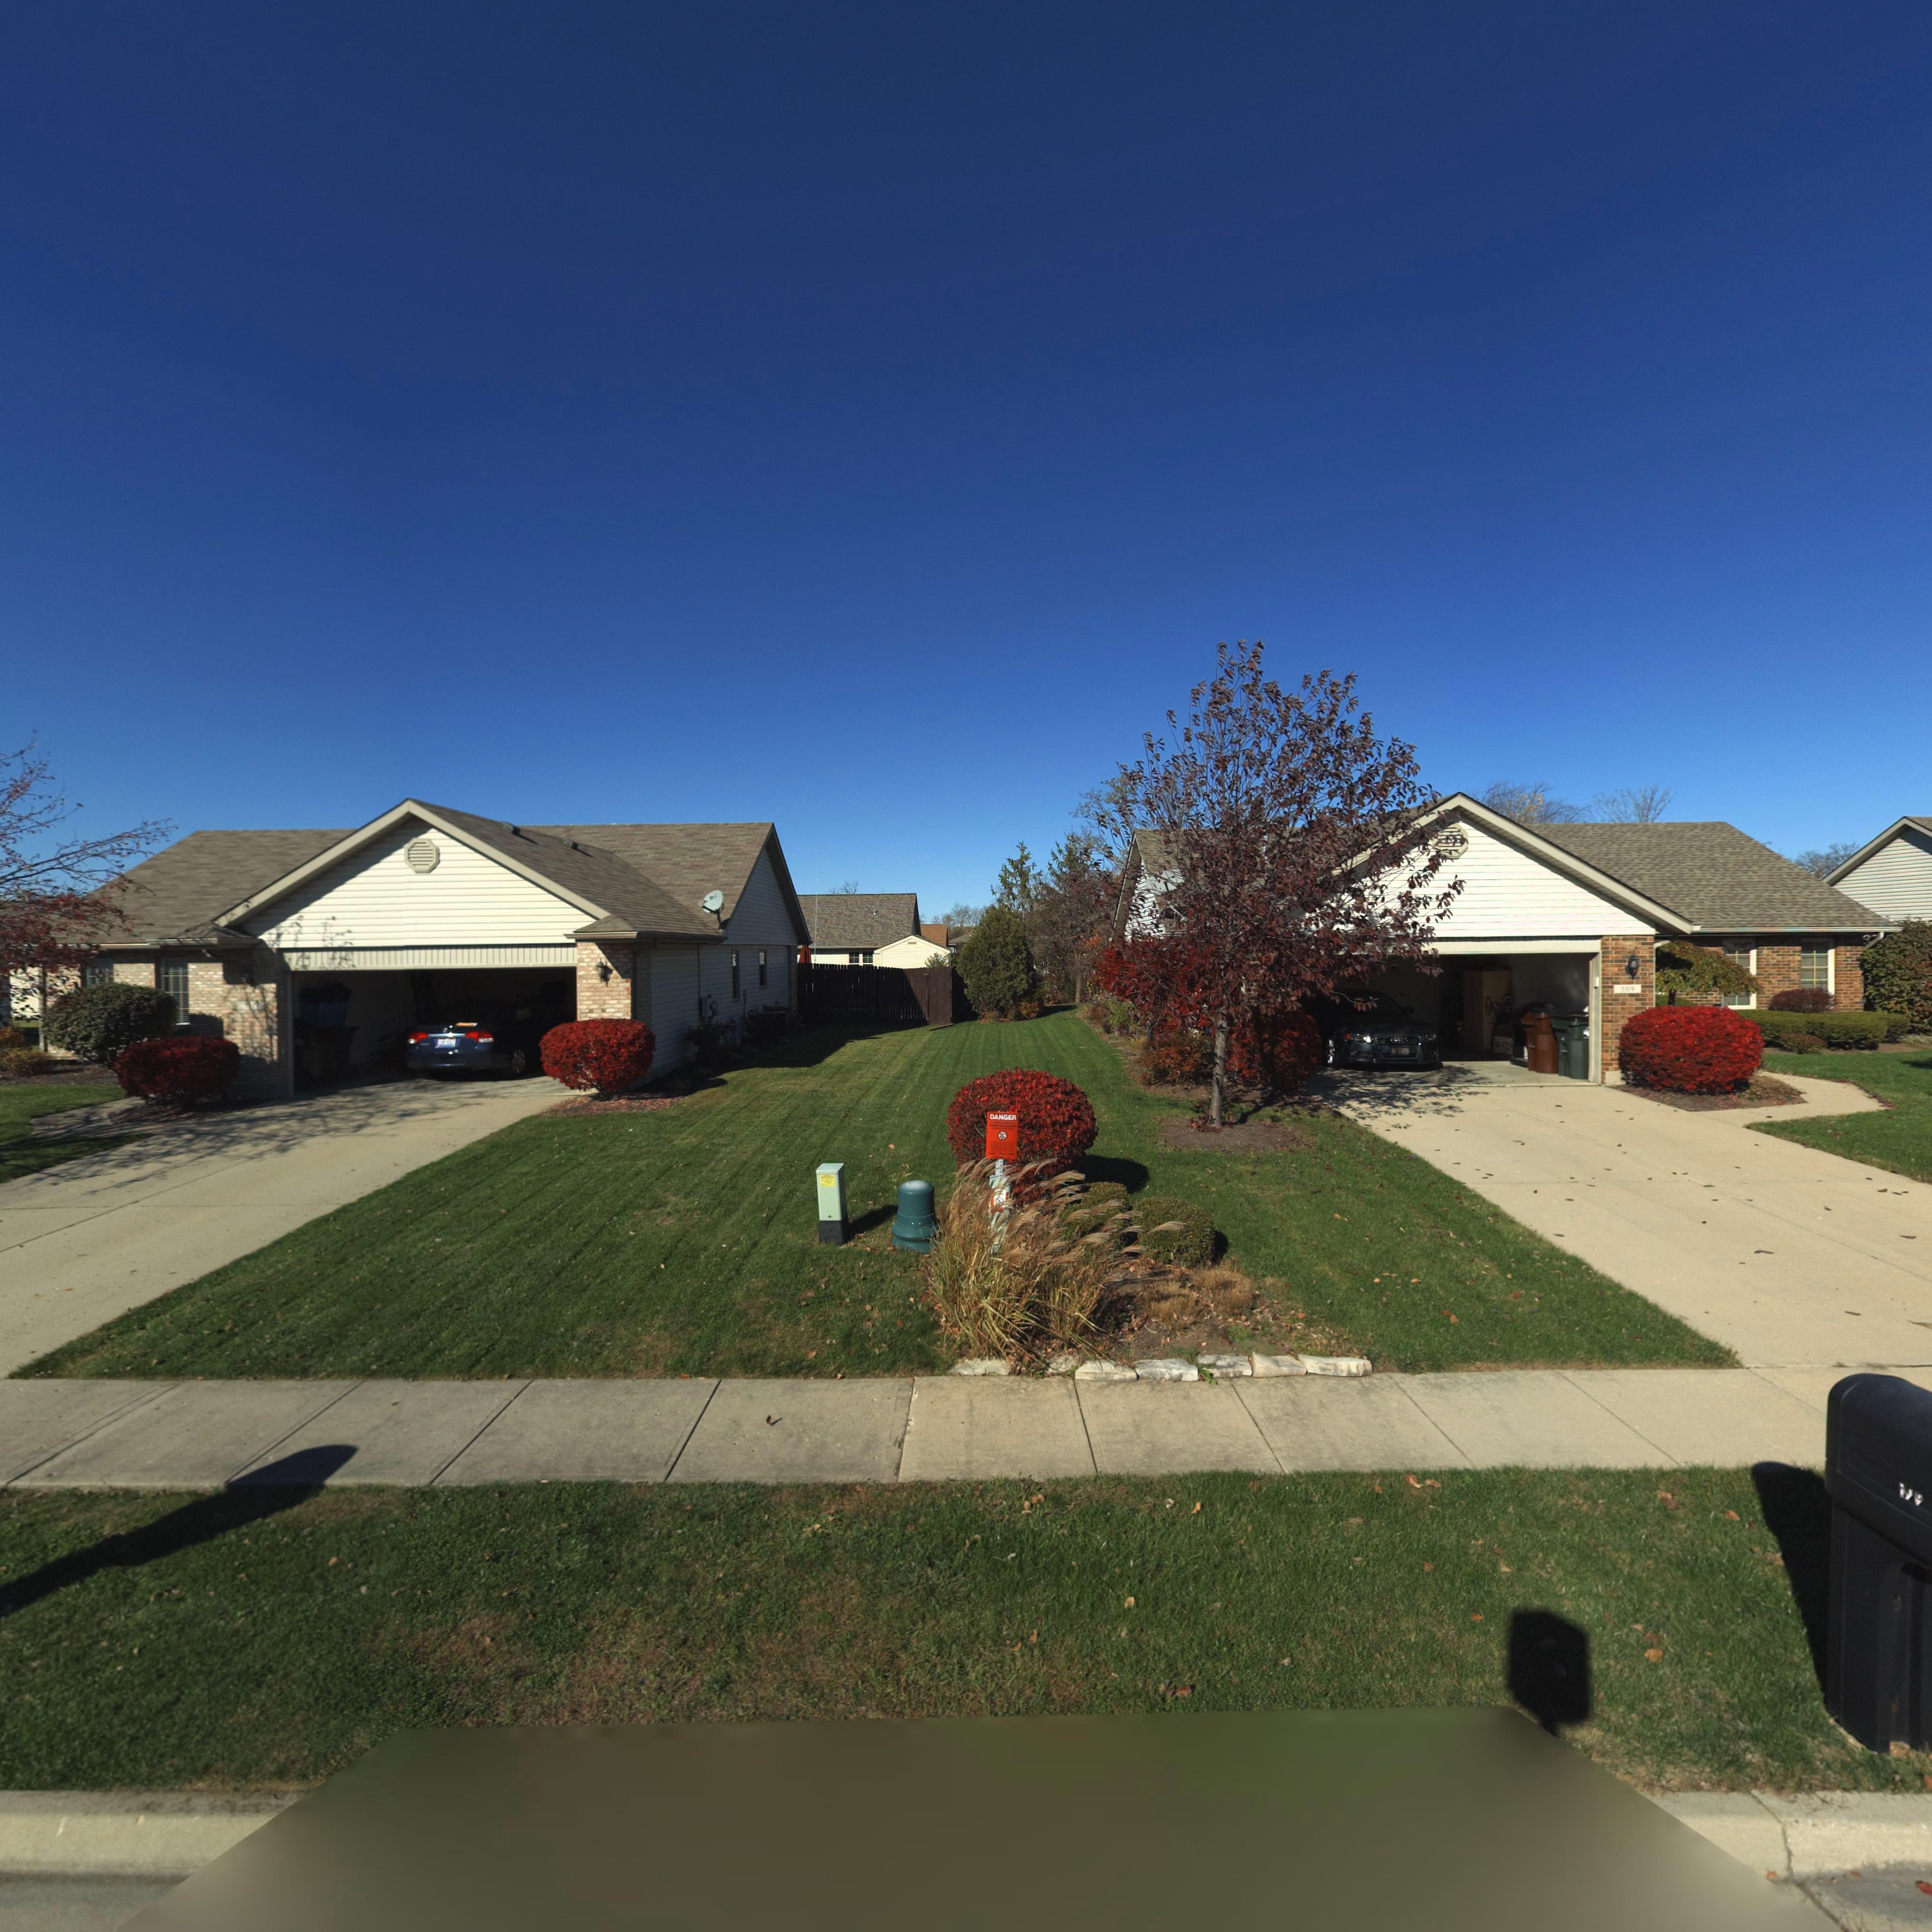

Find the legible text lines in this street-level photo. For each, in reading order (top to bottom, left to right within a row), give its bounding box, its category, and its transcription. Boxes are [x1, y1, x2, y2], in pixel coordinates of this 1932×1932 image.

[1620, 985, 1635, 993] StreetNumber: 509